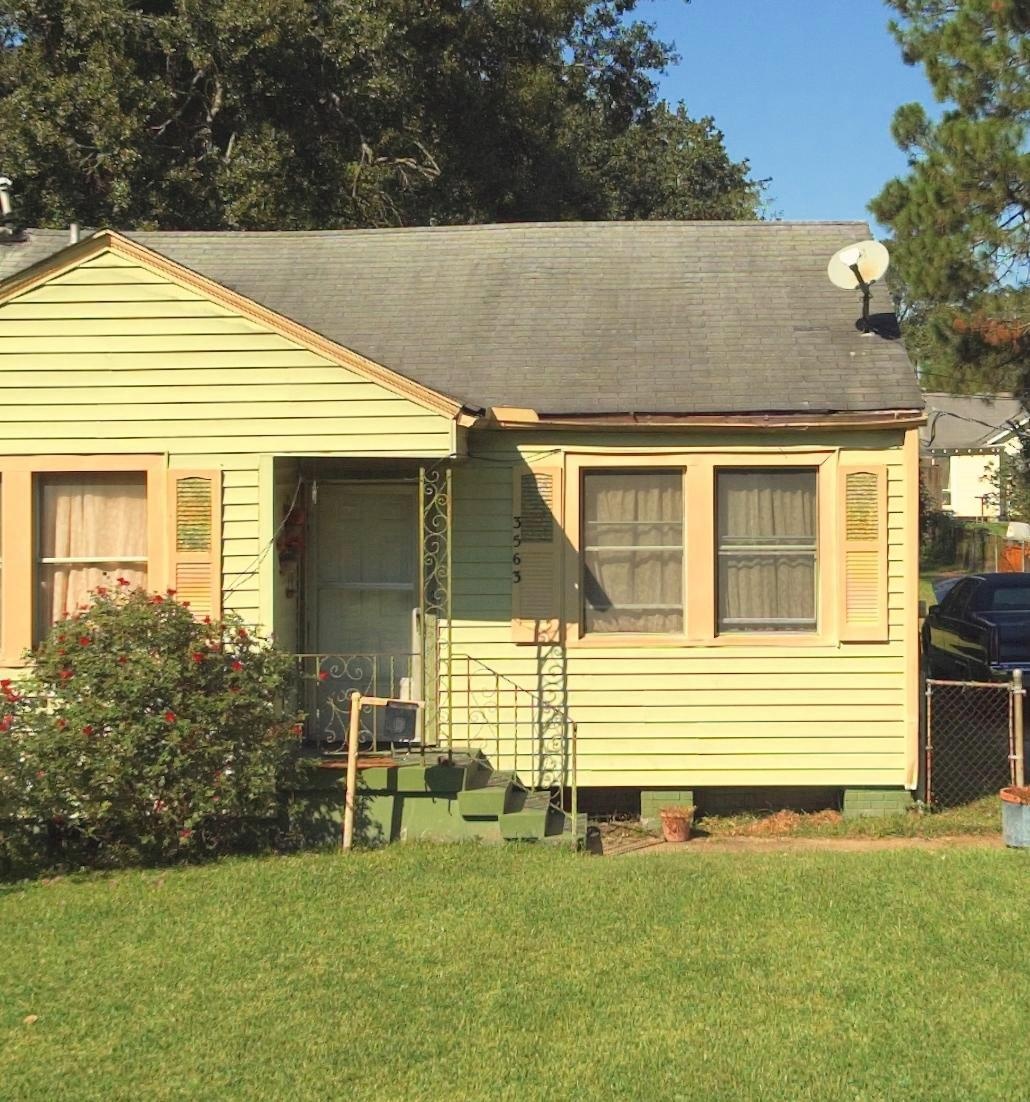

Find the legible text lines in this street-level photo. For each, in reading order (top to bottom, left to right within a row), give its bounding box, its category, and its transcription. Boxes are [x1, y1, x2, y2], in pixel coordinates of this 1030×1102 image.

[510, 515, 523, 585] StreetNumber: 3563